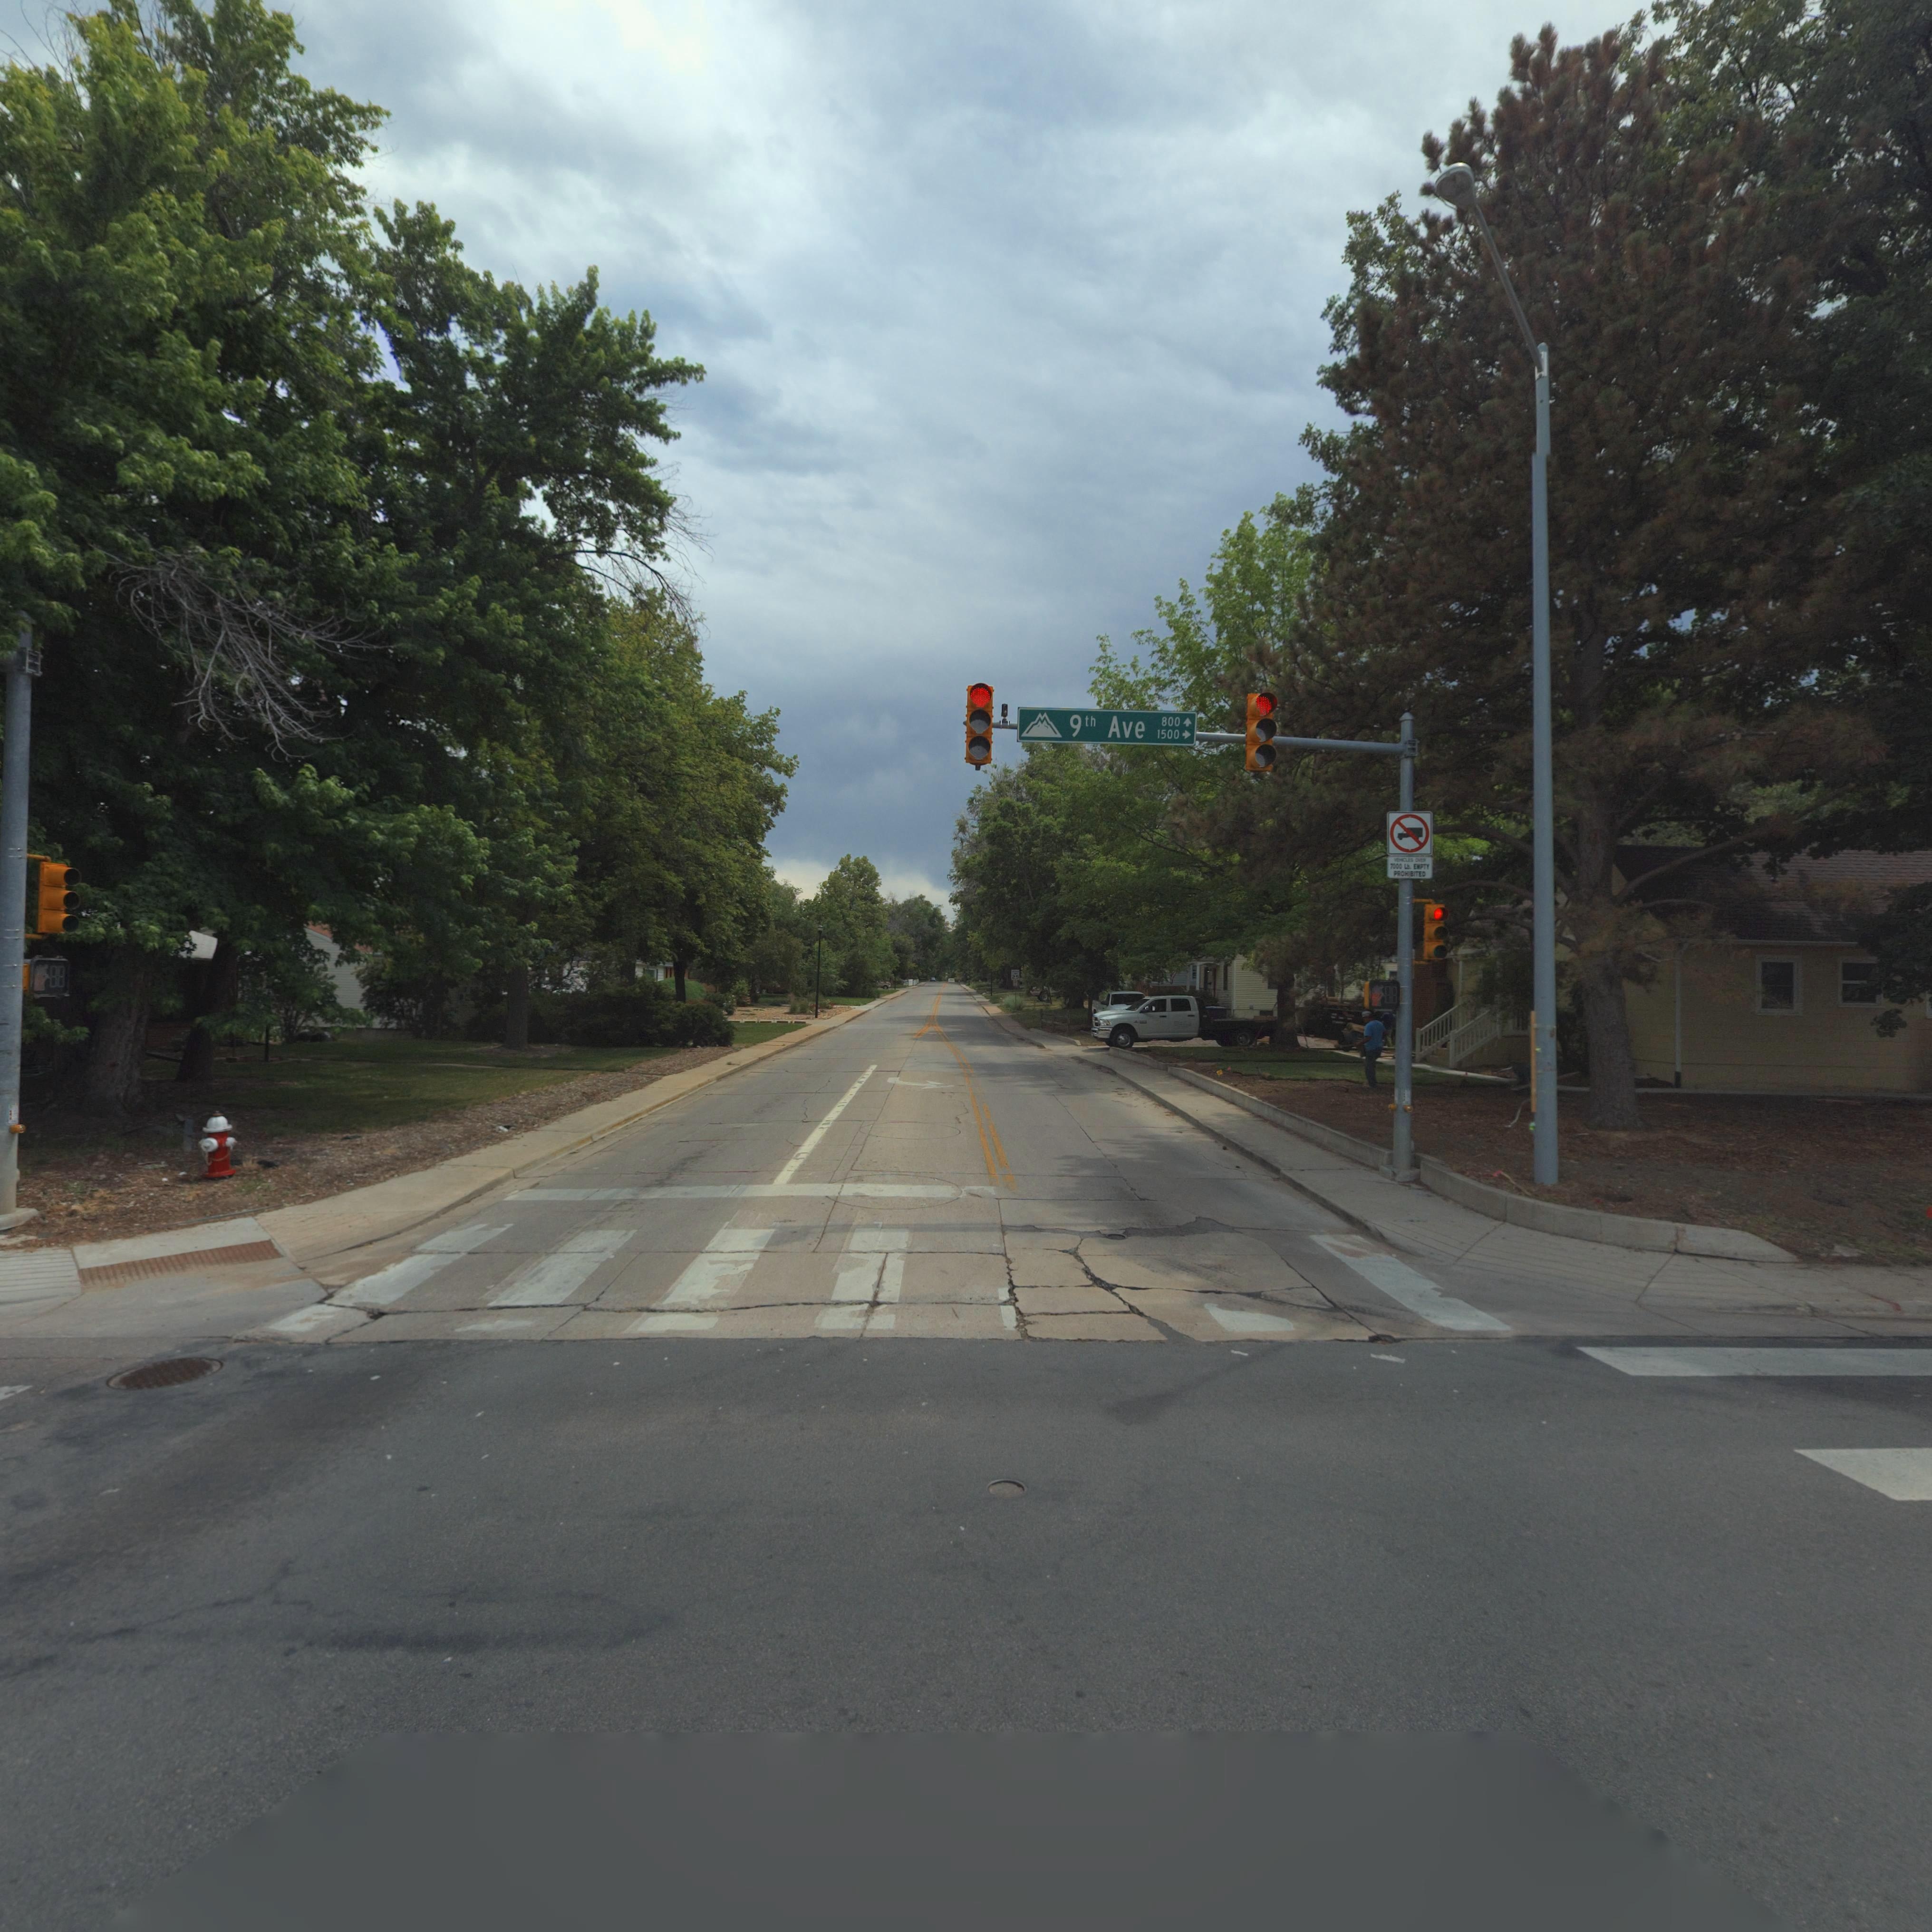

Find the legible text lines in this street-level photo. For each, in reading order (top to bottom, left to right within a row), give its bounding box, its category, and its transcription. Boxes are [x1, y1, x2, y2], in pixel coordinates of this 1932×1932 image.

[1069, 714, 1146, 739] StreetName: 9th Ave
[1161, 715, 1180, 727] StreetNumberRange: 800
[1157, 729, 1192, 740] StreetNumberRange: 1500->